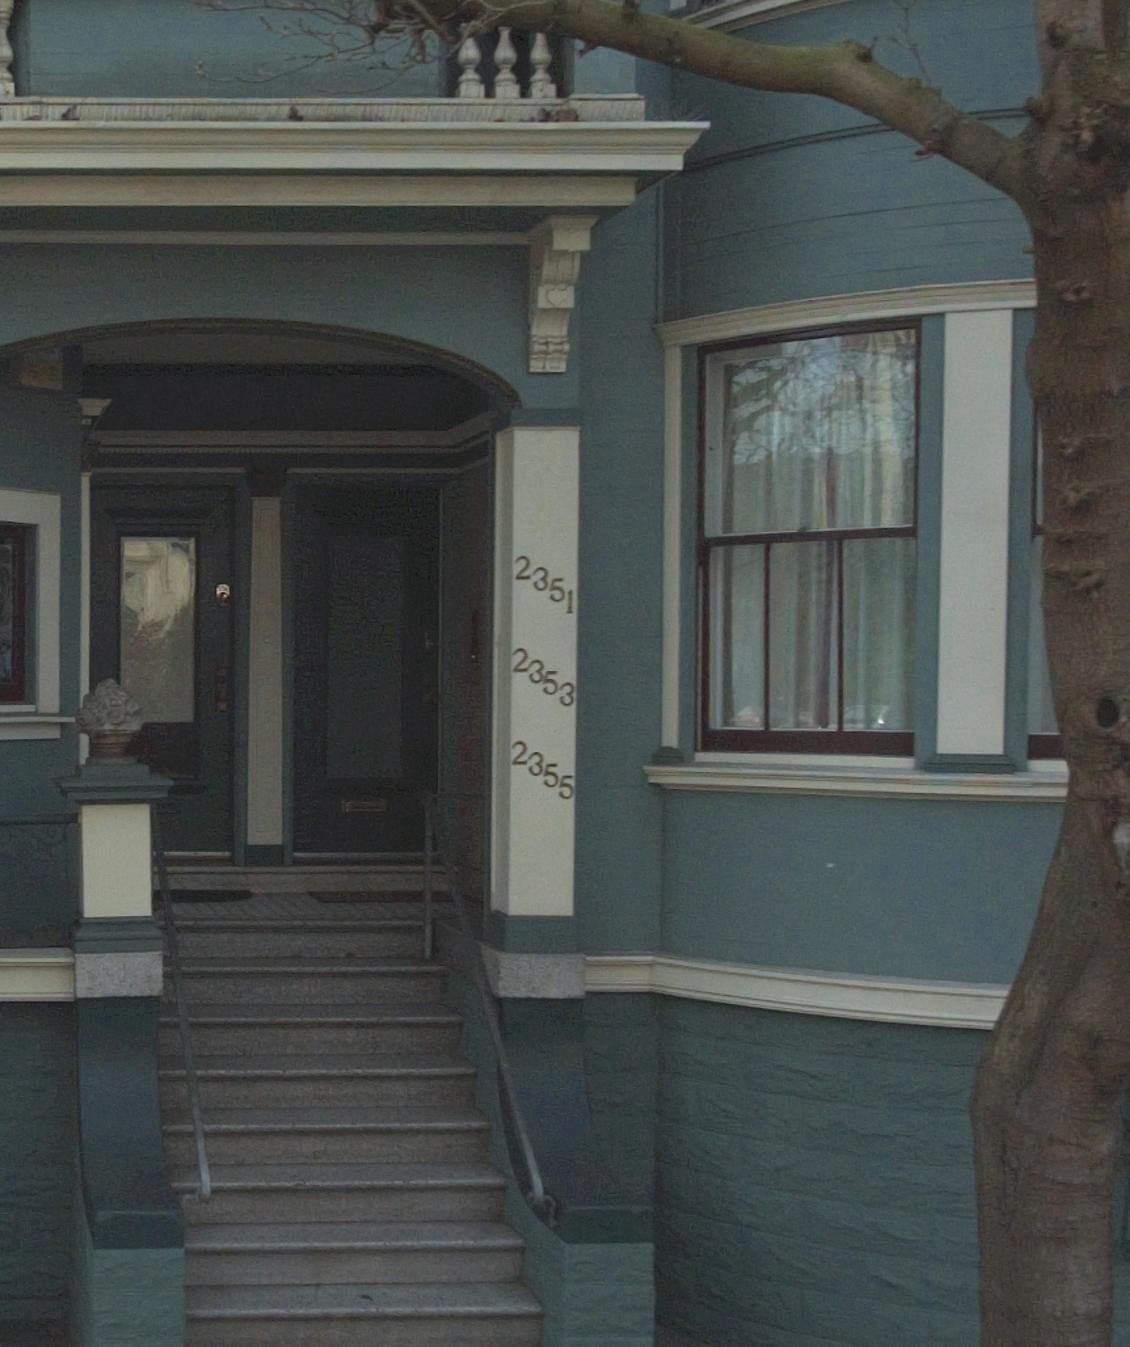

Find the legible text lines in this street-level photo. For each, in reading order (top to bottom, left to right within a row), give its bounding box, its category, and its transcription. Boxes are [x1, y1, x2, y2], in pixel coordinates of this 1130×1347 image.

[512, 553, 577, 616] StreetNumber: 2351
[509, 644, 577, 709] StreetNumber: 2353
[508, 737, 576, 803] StreetNumber: 2355